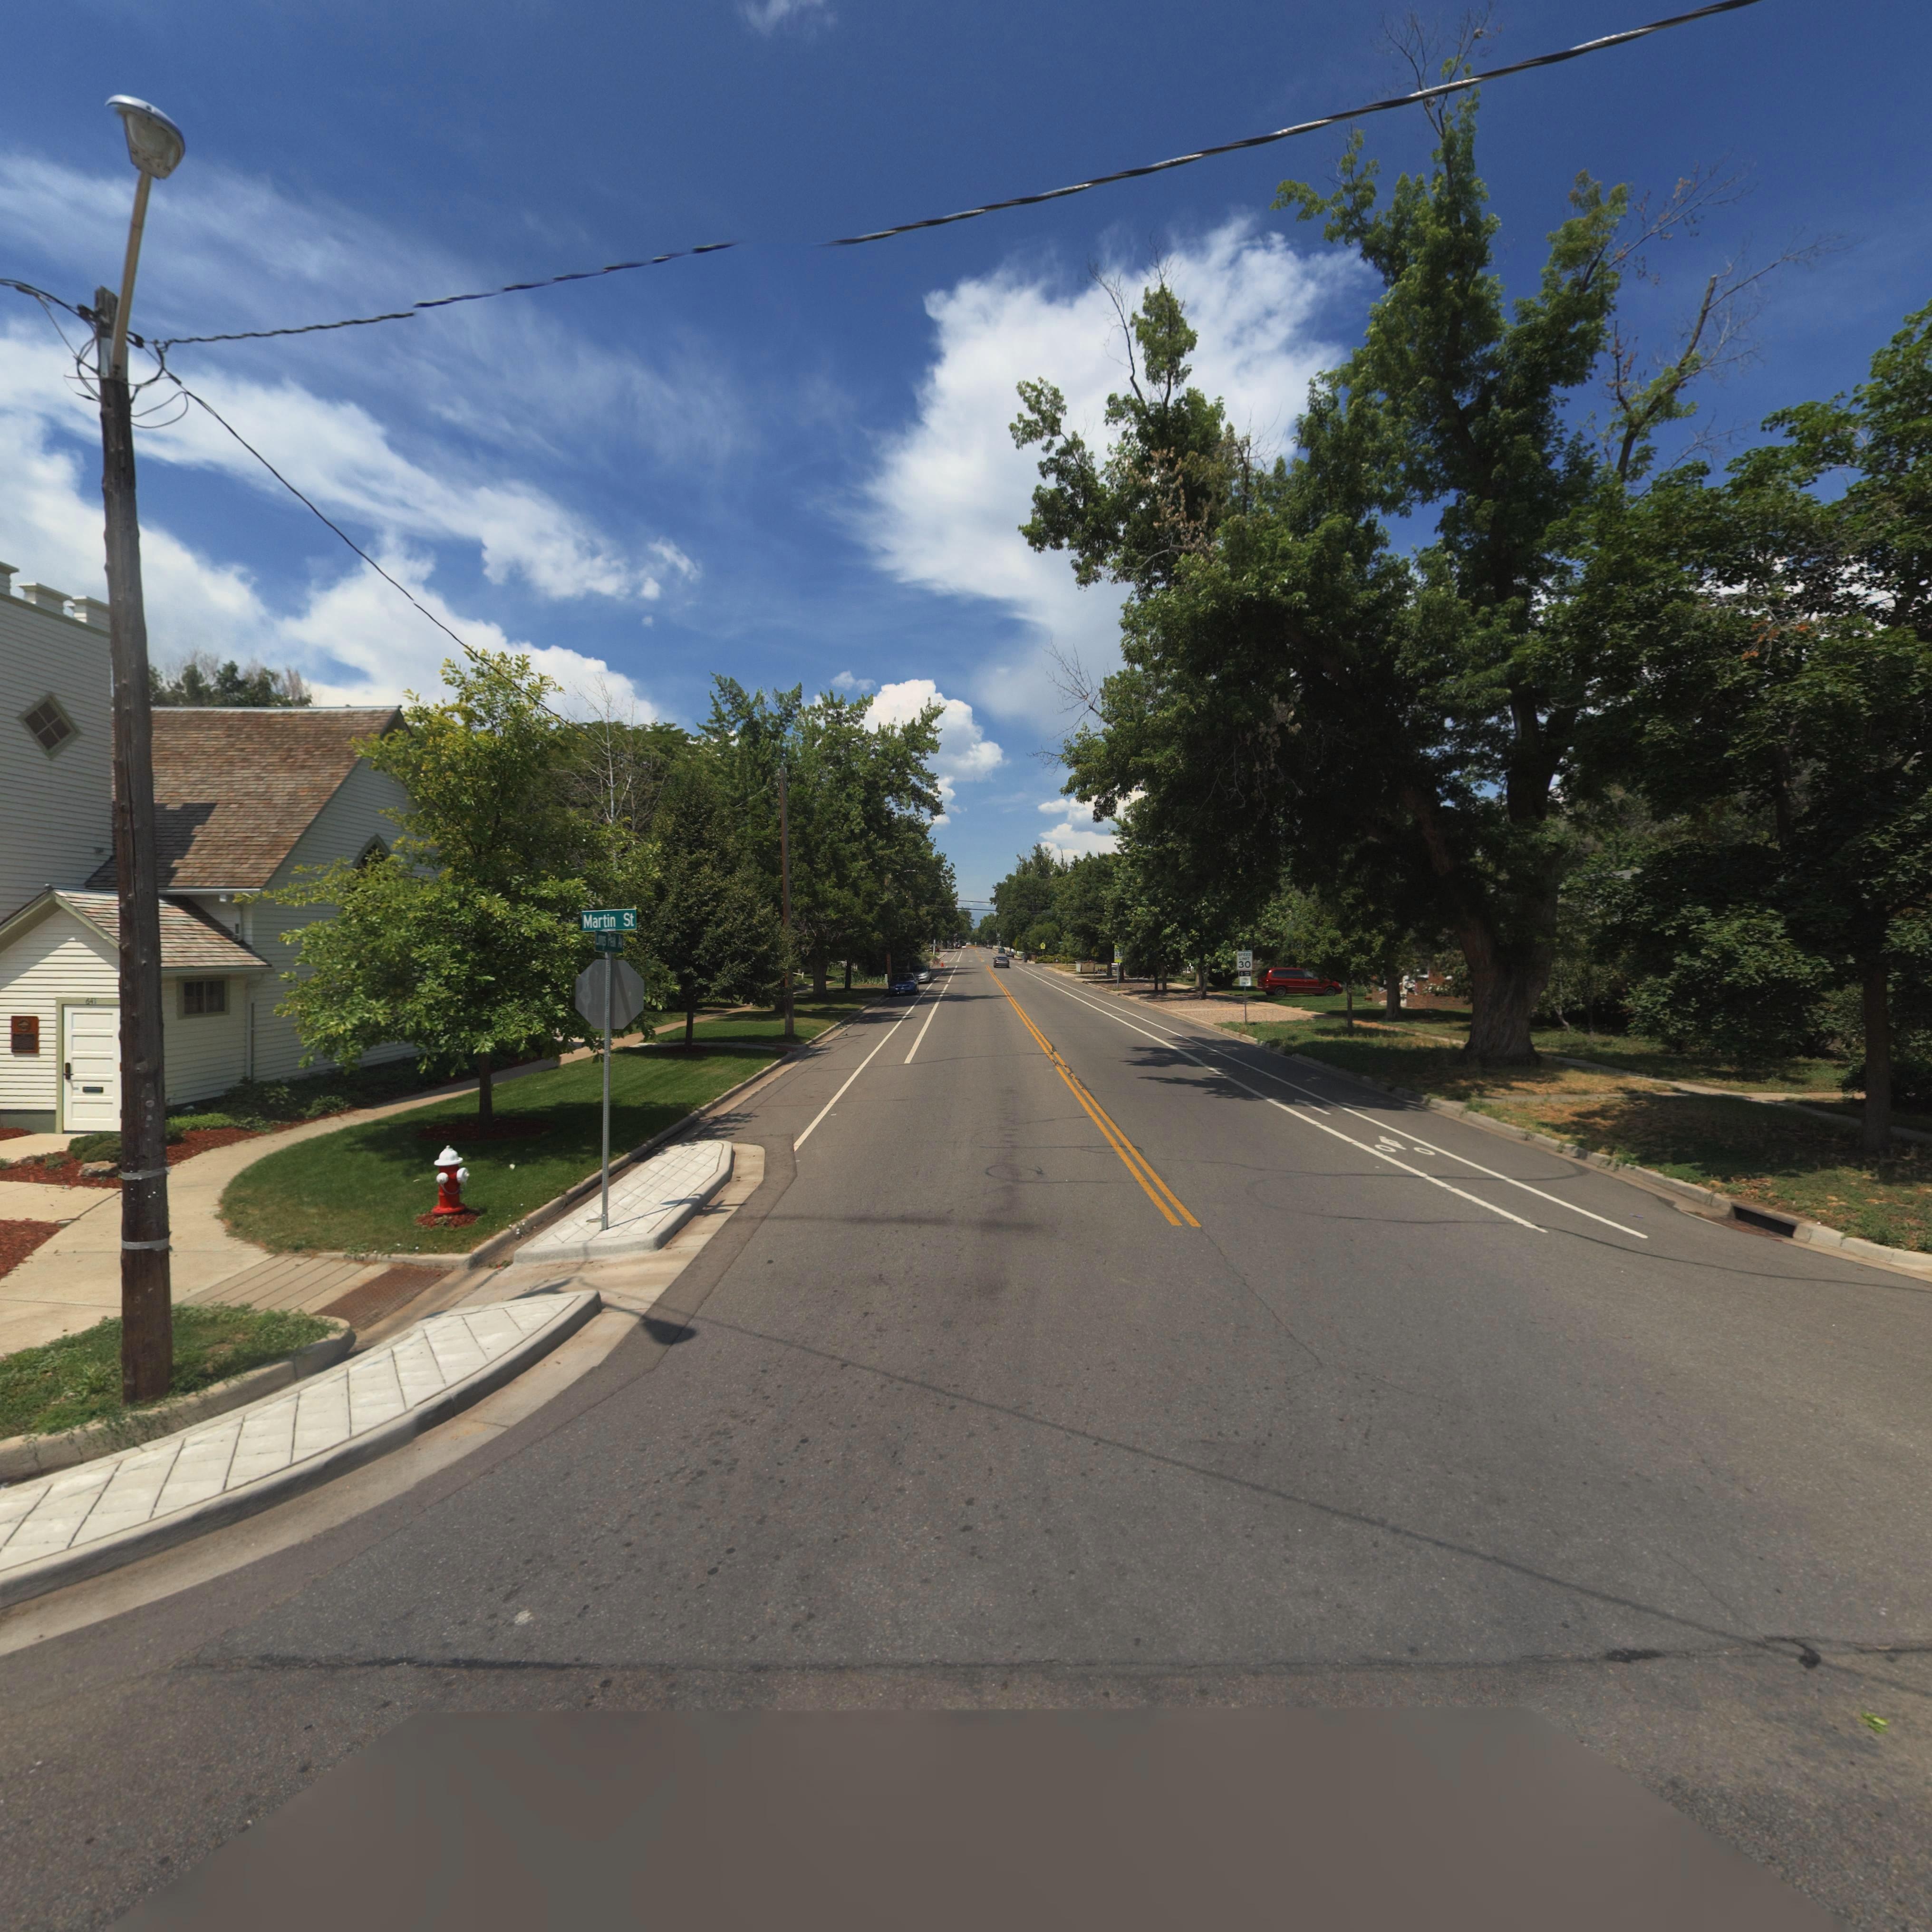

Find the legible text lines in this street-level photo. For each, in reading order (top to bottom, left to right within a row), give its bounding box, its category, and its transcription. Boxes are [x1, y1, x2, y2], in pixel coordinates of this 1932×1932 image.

[595, 931, 622, 950] StreetName: Longs Peak Av
[85, 997, 96, 1004] StreetNumber: 641